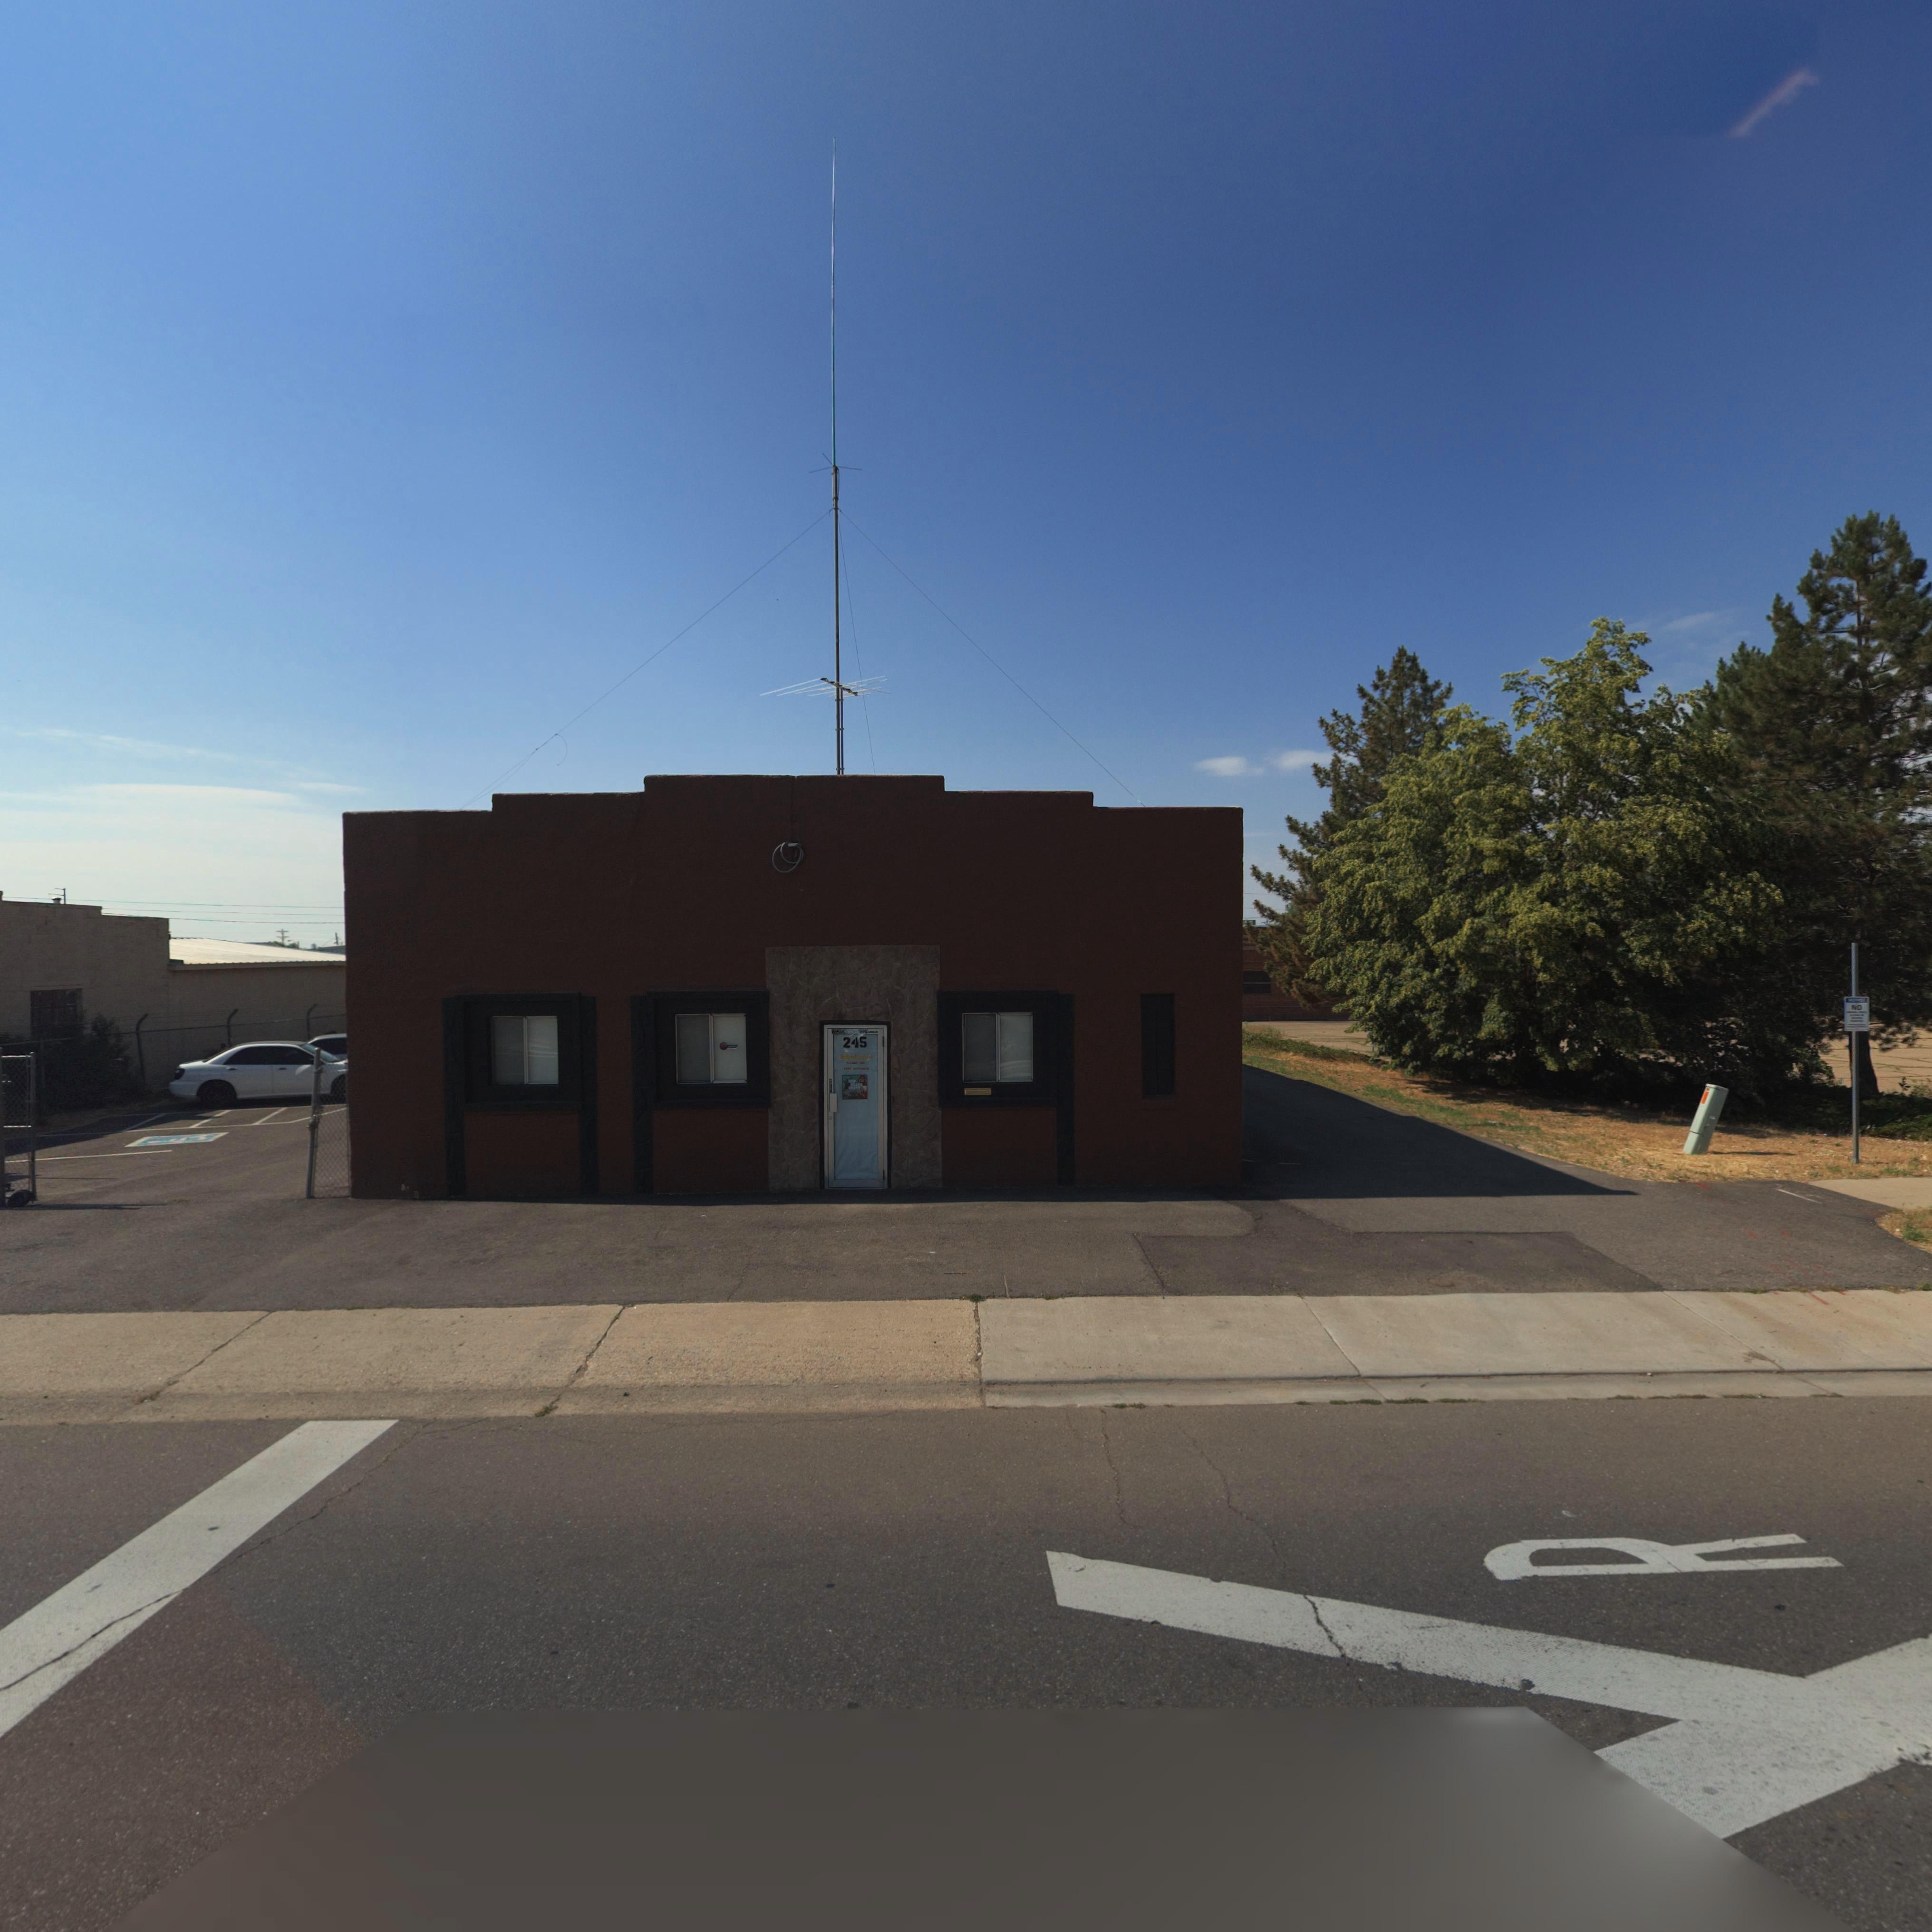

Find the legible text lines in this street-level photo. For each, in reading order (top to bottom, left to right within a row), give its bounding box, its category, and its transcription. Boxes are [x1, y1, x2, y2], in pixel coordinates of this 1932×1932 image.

[841, 1036, 868, 1048] StreetNumber: 245